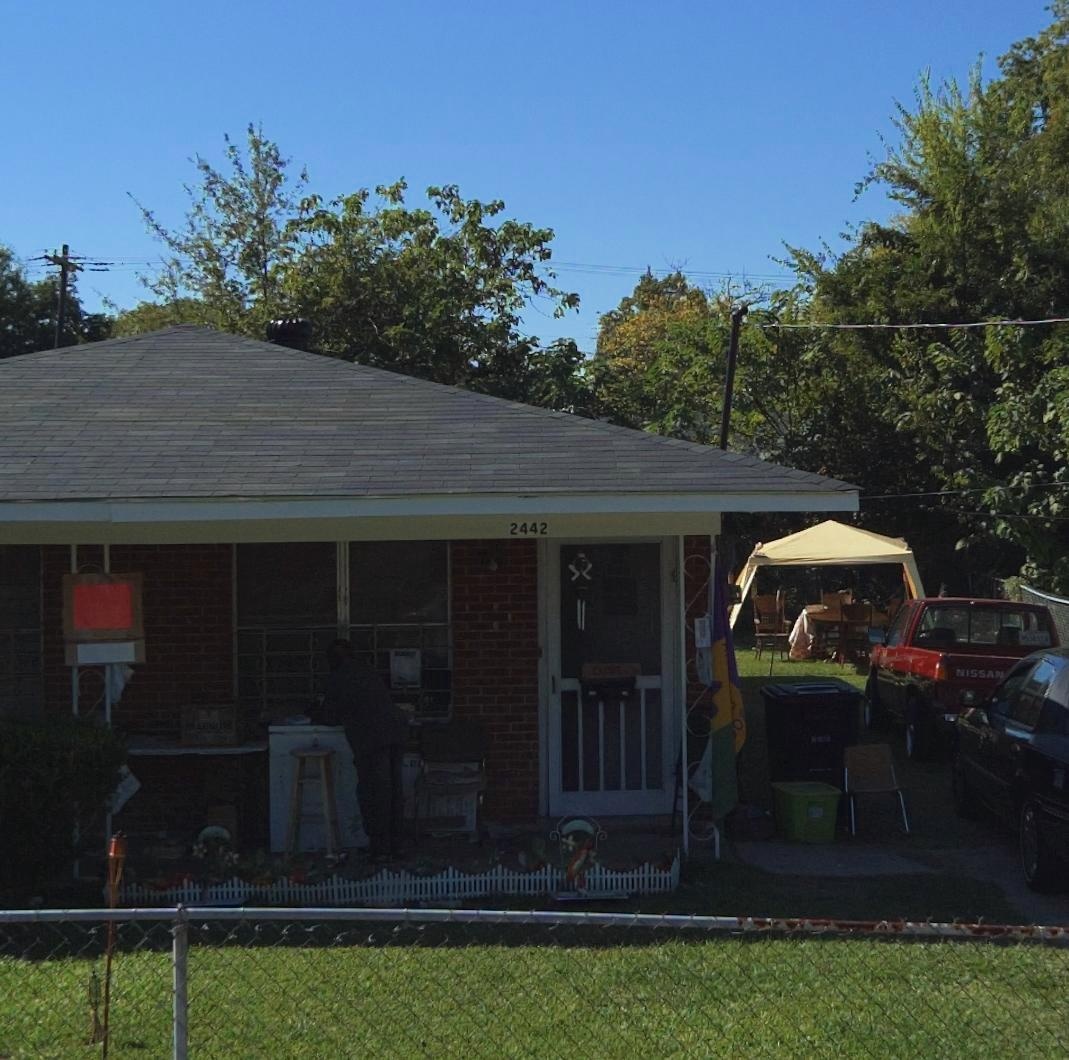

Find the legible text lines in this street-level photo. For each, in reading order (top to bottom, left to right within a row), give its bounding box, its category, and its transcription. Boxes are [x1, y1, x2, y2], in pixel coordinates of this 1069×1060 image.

[508, 520, 549, 537] StreetNumber: 2442
[954, 666, 1006, 681] None: NISSAN